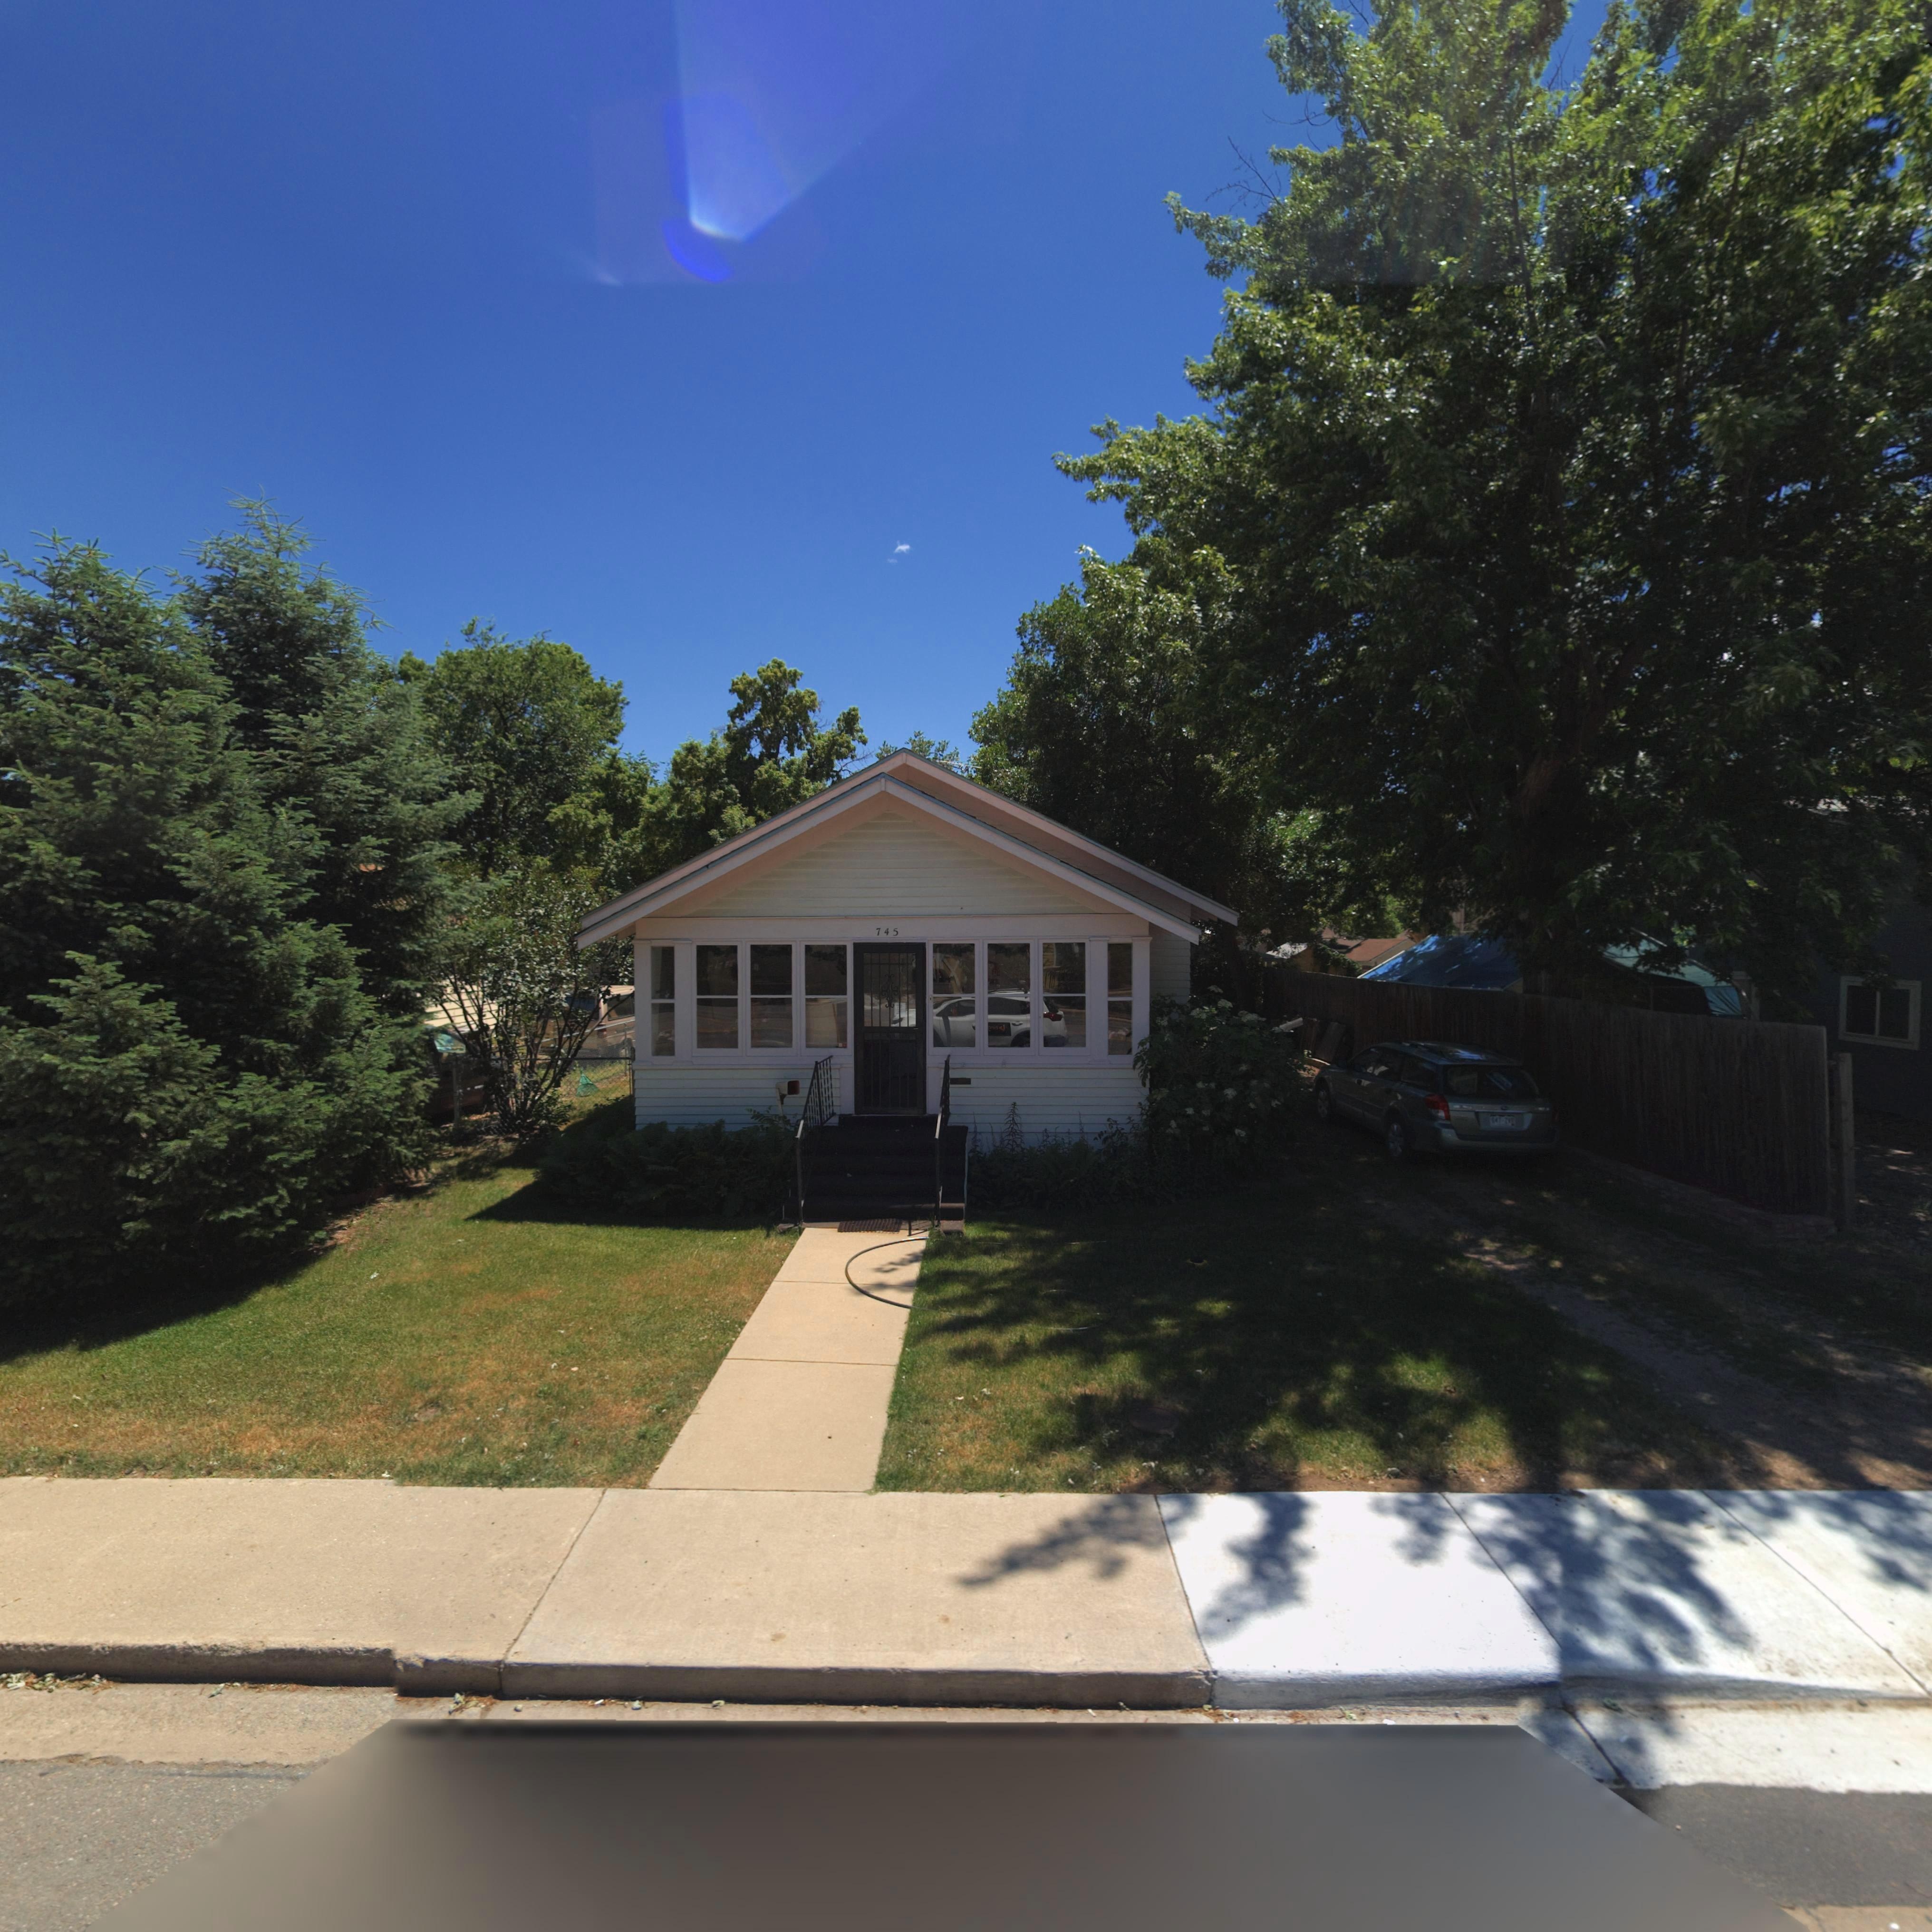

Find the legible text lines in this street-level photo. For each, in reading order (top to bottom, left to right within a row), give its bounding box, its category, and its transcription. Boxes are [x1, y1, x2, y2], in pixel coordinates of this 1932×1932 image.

[876, 927, 898, 936] StreetNumber: 745